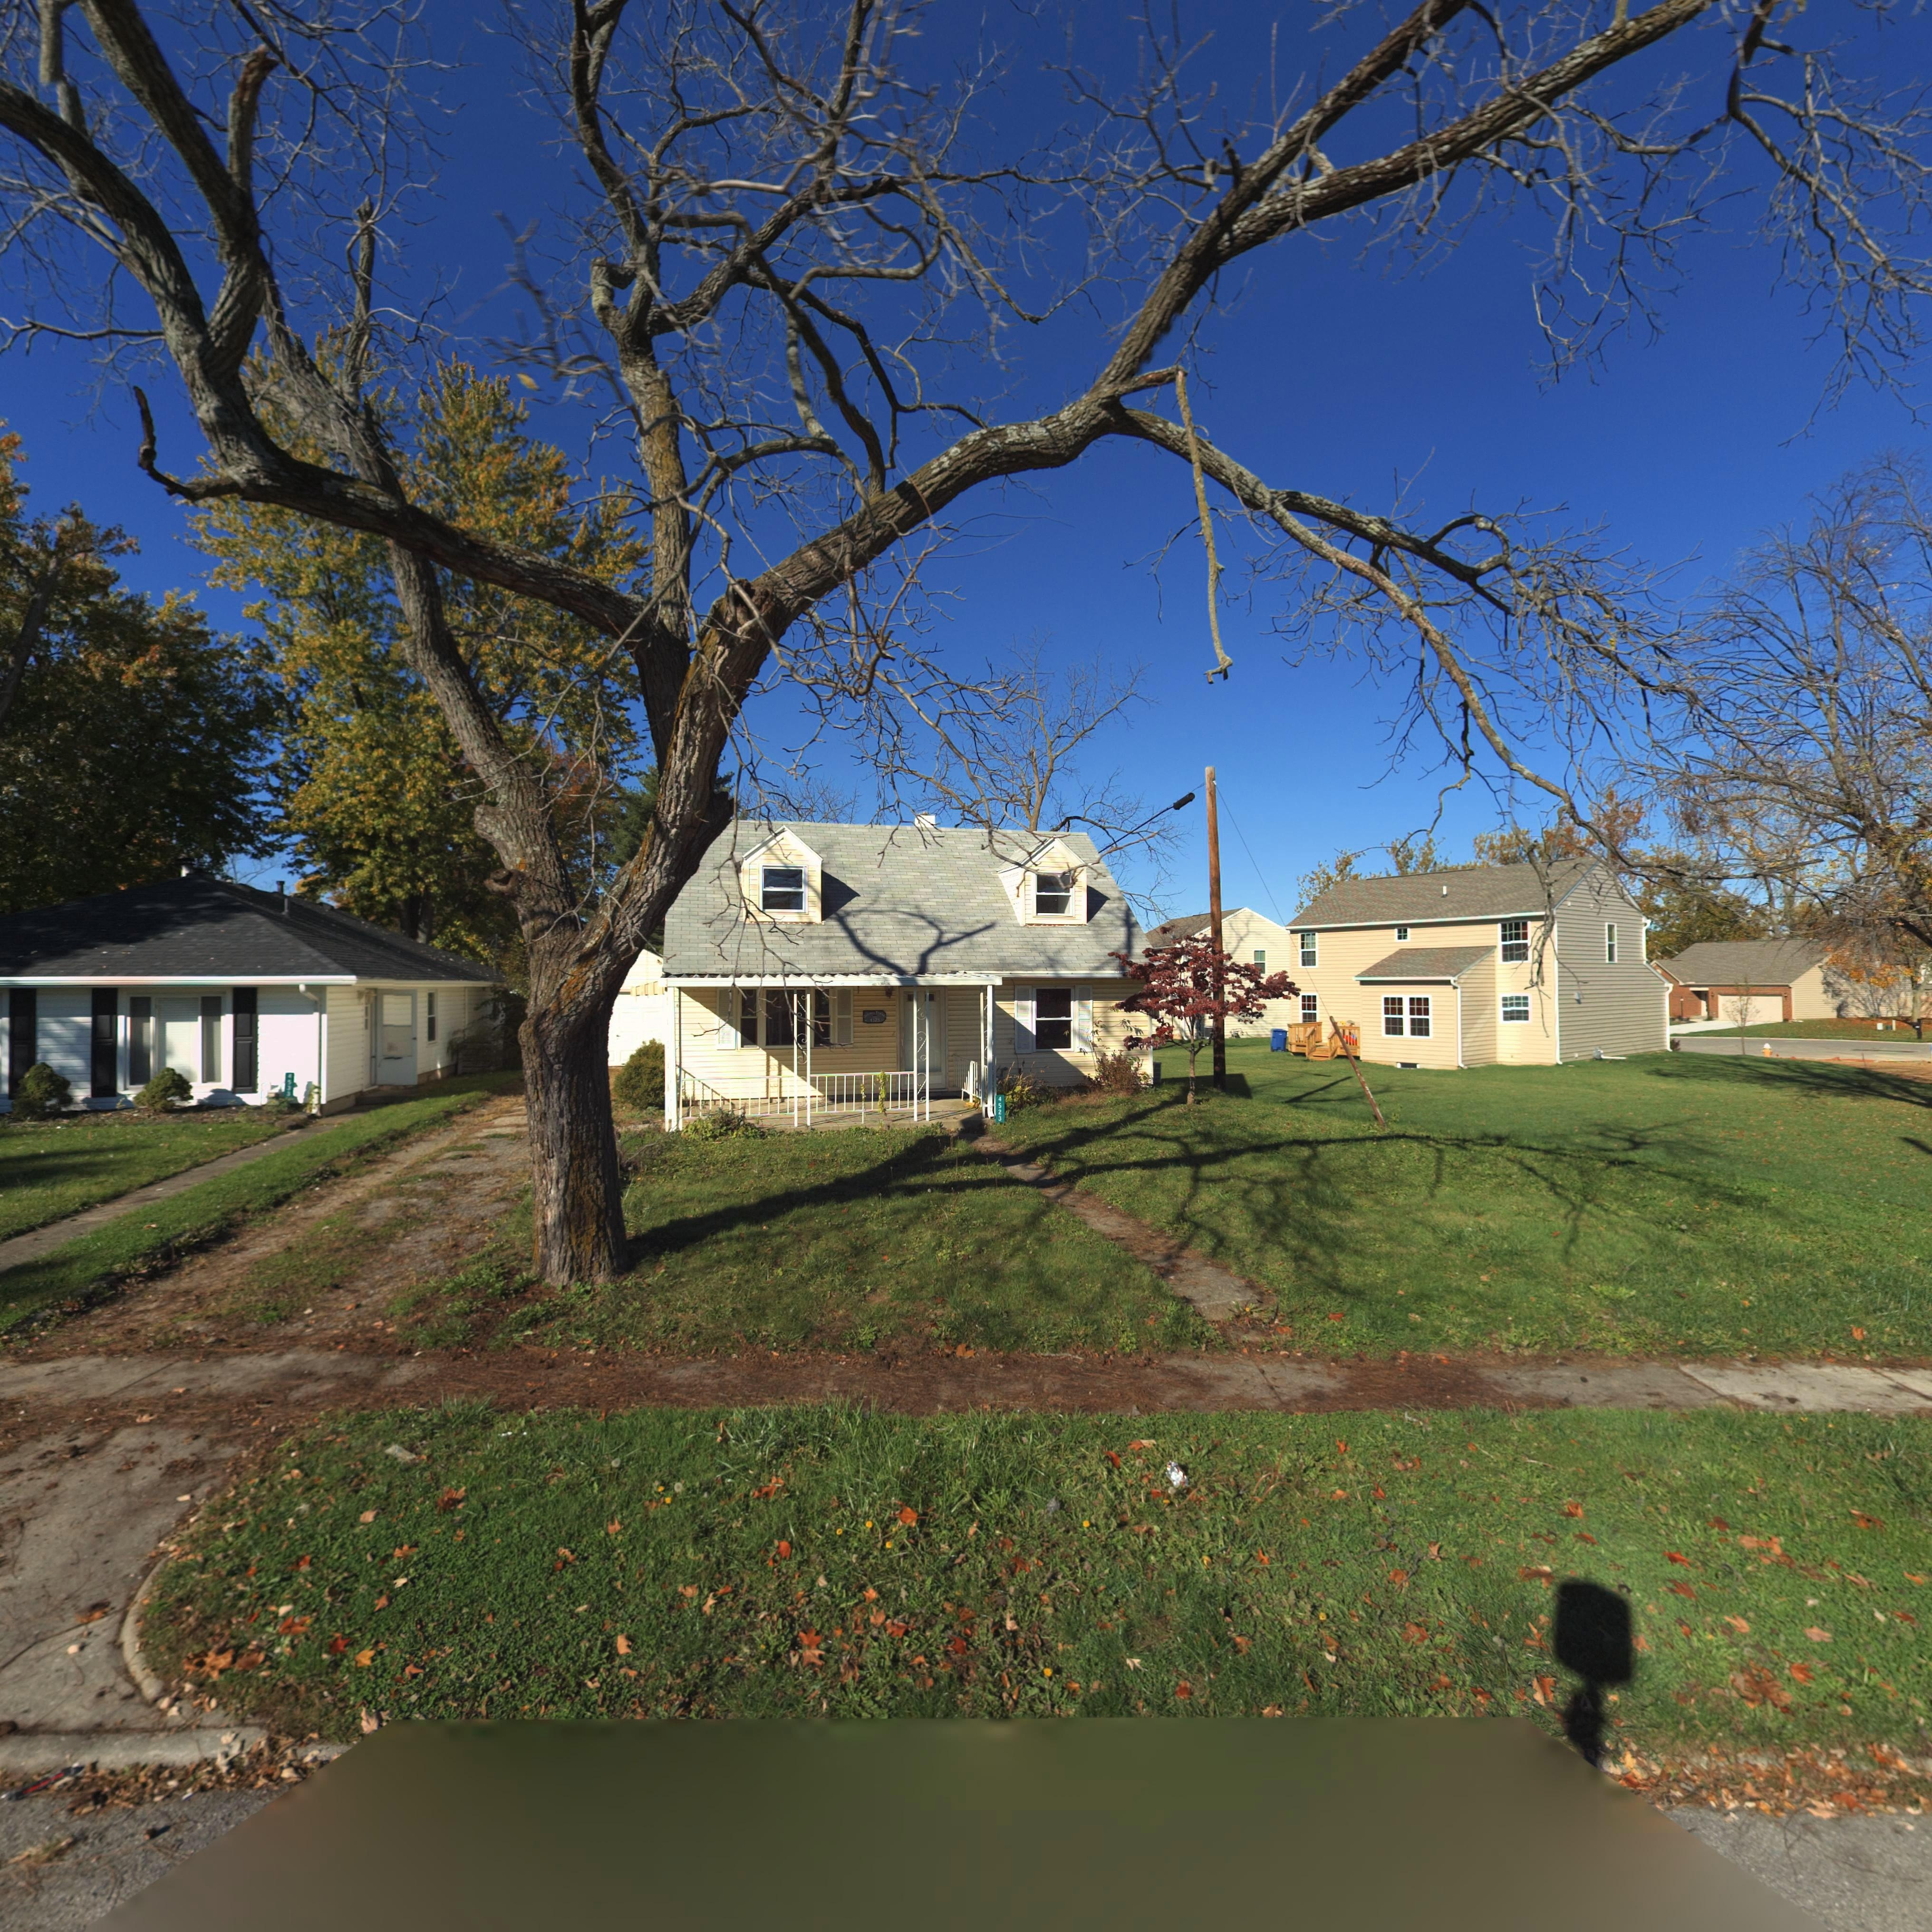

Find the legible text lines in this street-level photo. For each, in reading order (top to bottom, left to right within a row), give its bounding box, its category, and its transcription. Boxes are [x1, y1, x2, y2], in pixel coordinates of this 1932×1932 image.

[869, 1017, 880, 1023] StreetNumber: 4523
[285, 1073, 293, 1097] StreetNumber: 4533
[998, 1096, 1002, 1121] StreetNumber: 4523